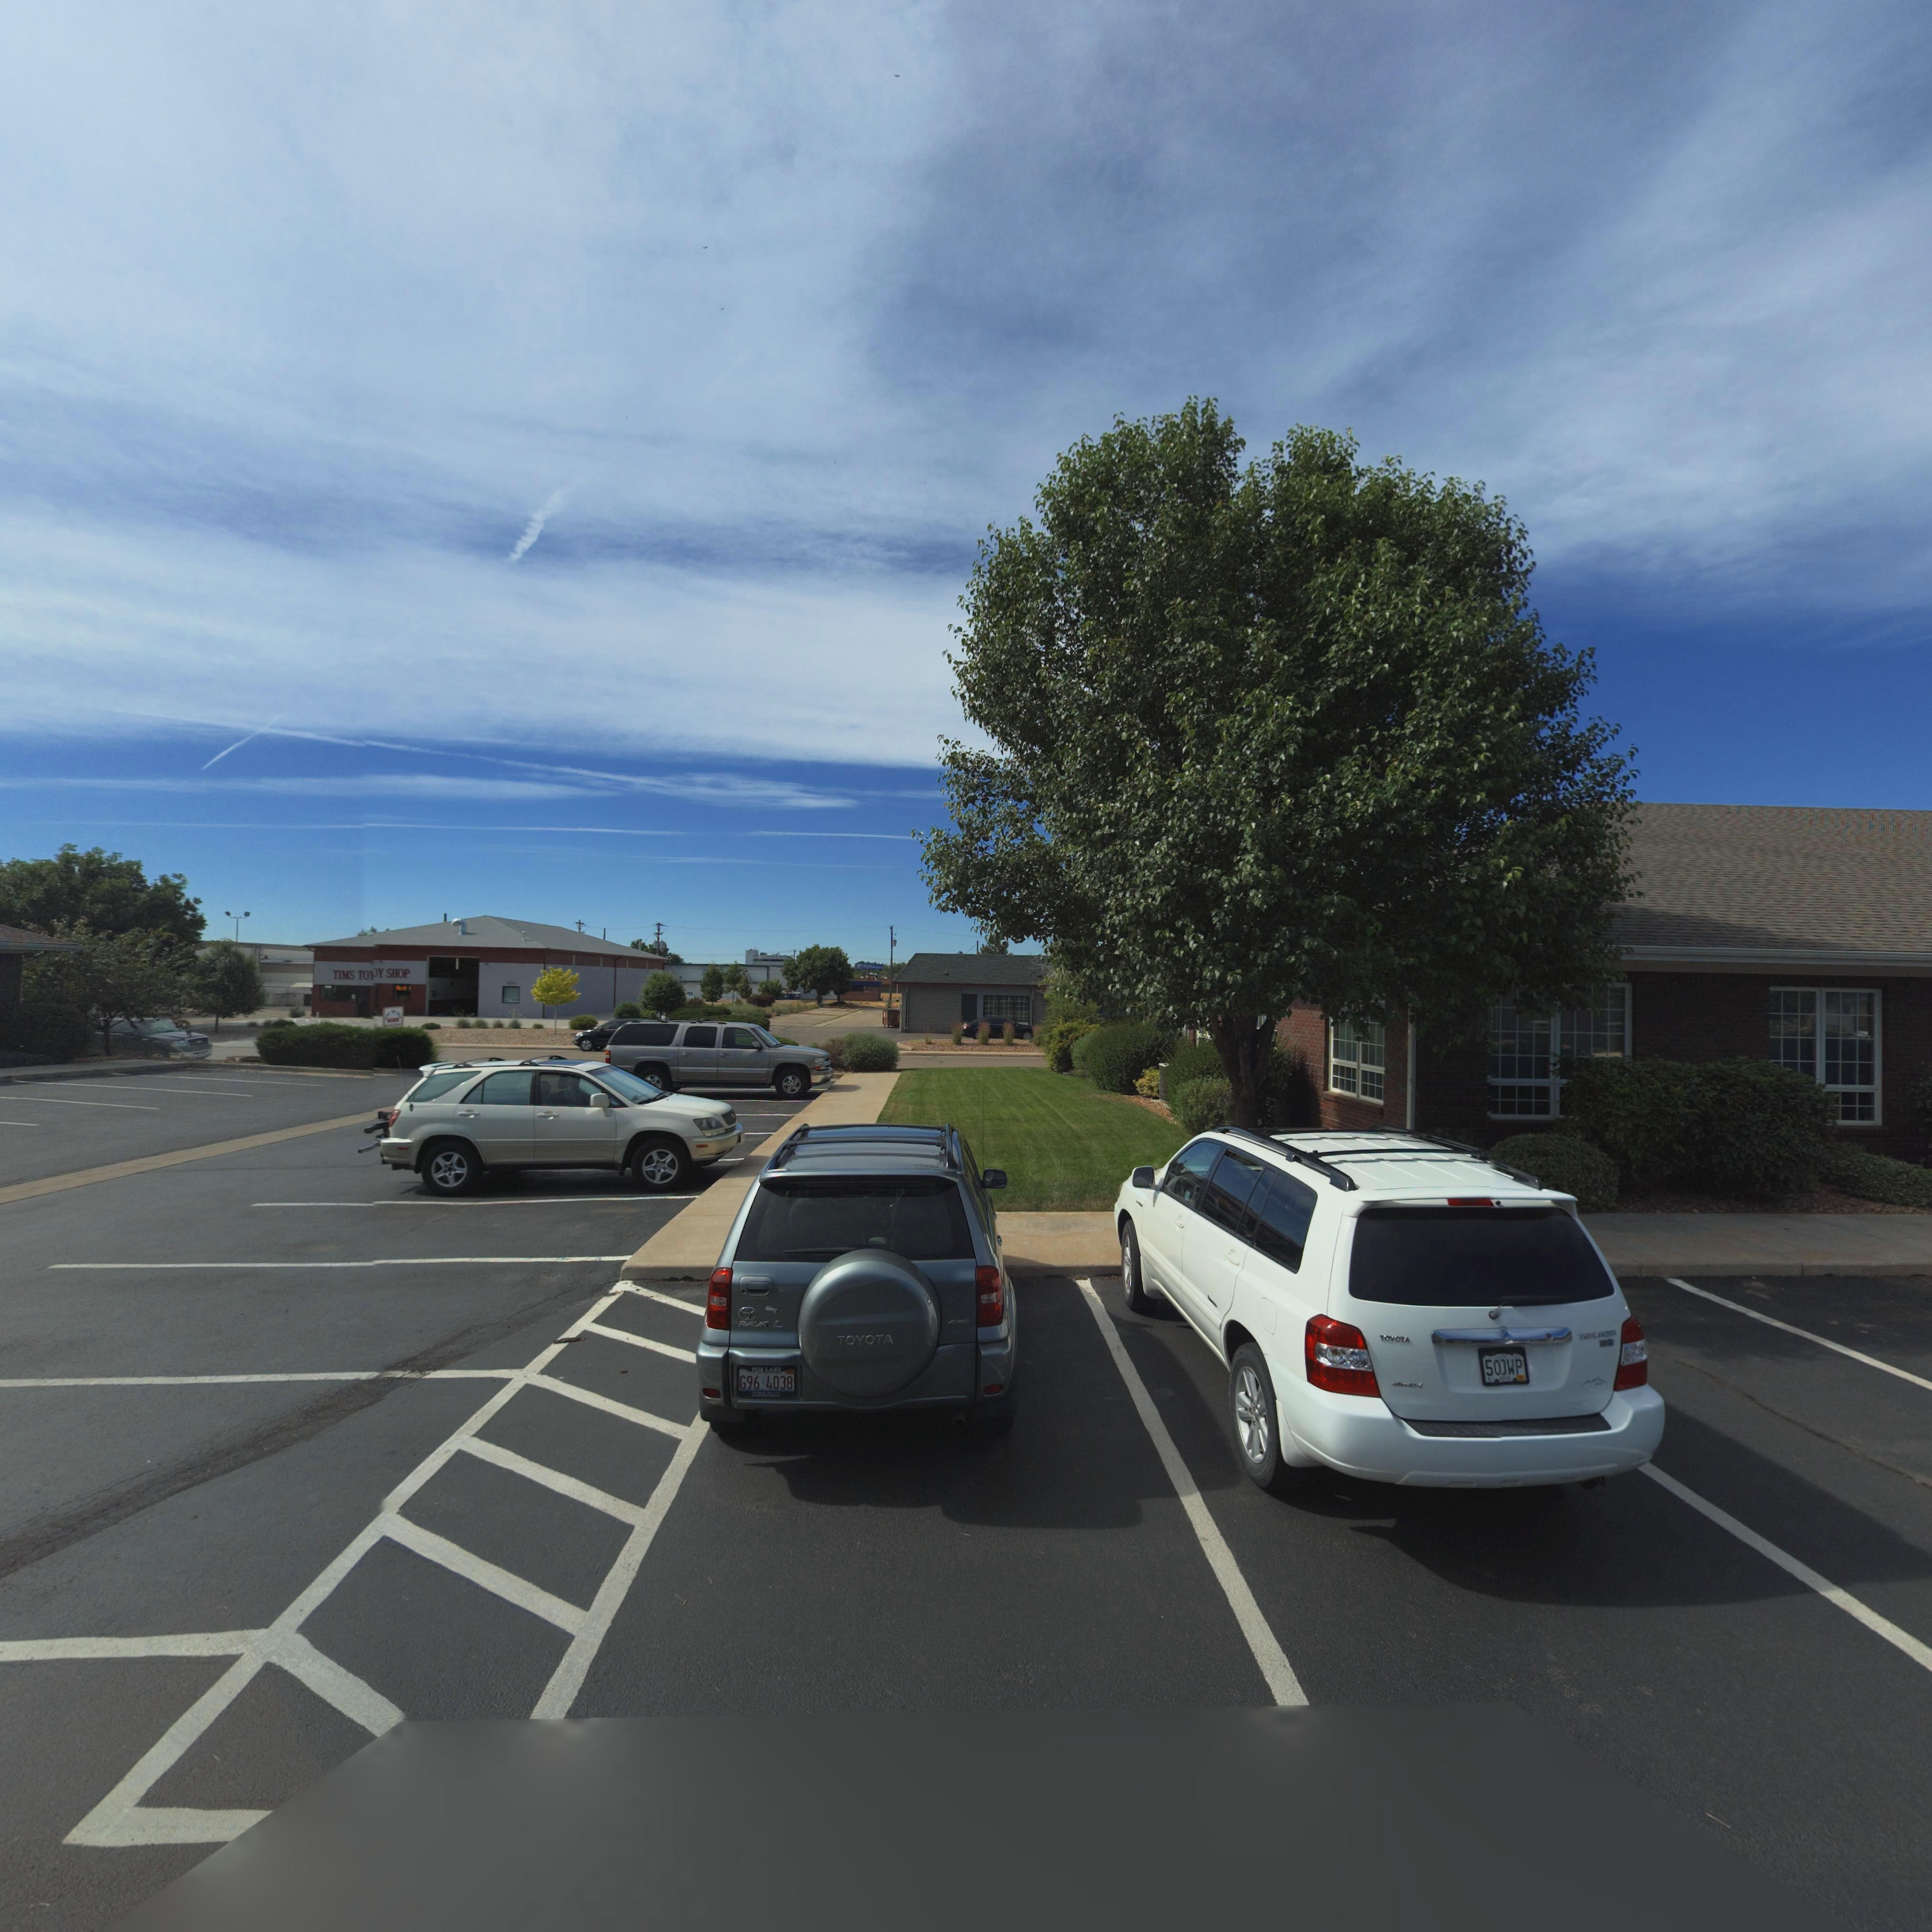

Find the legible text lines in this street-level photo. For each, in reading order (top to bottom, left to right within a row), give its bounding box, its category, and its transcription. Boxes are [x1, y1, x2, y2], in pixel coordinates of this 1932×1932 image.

[332, 967, 410, 980] BusinessName: TIMS TO**Y SHOP